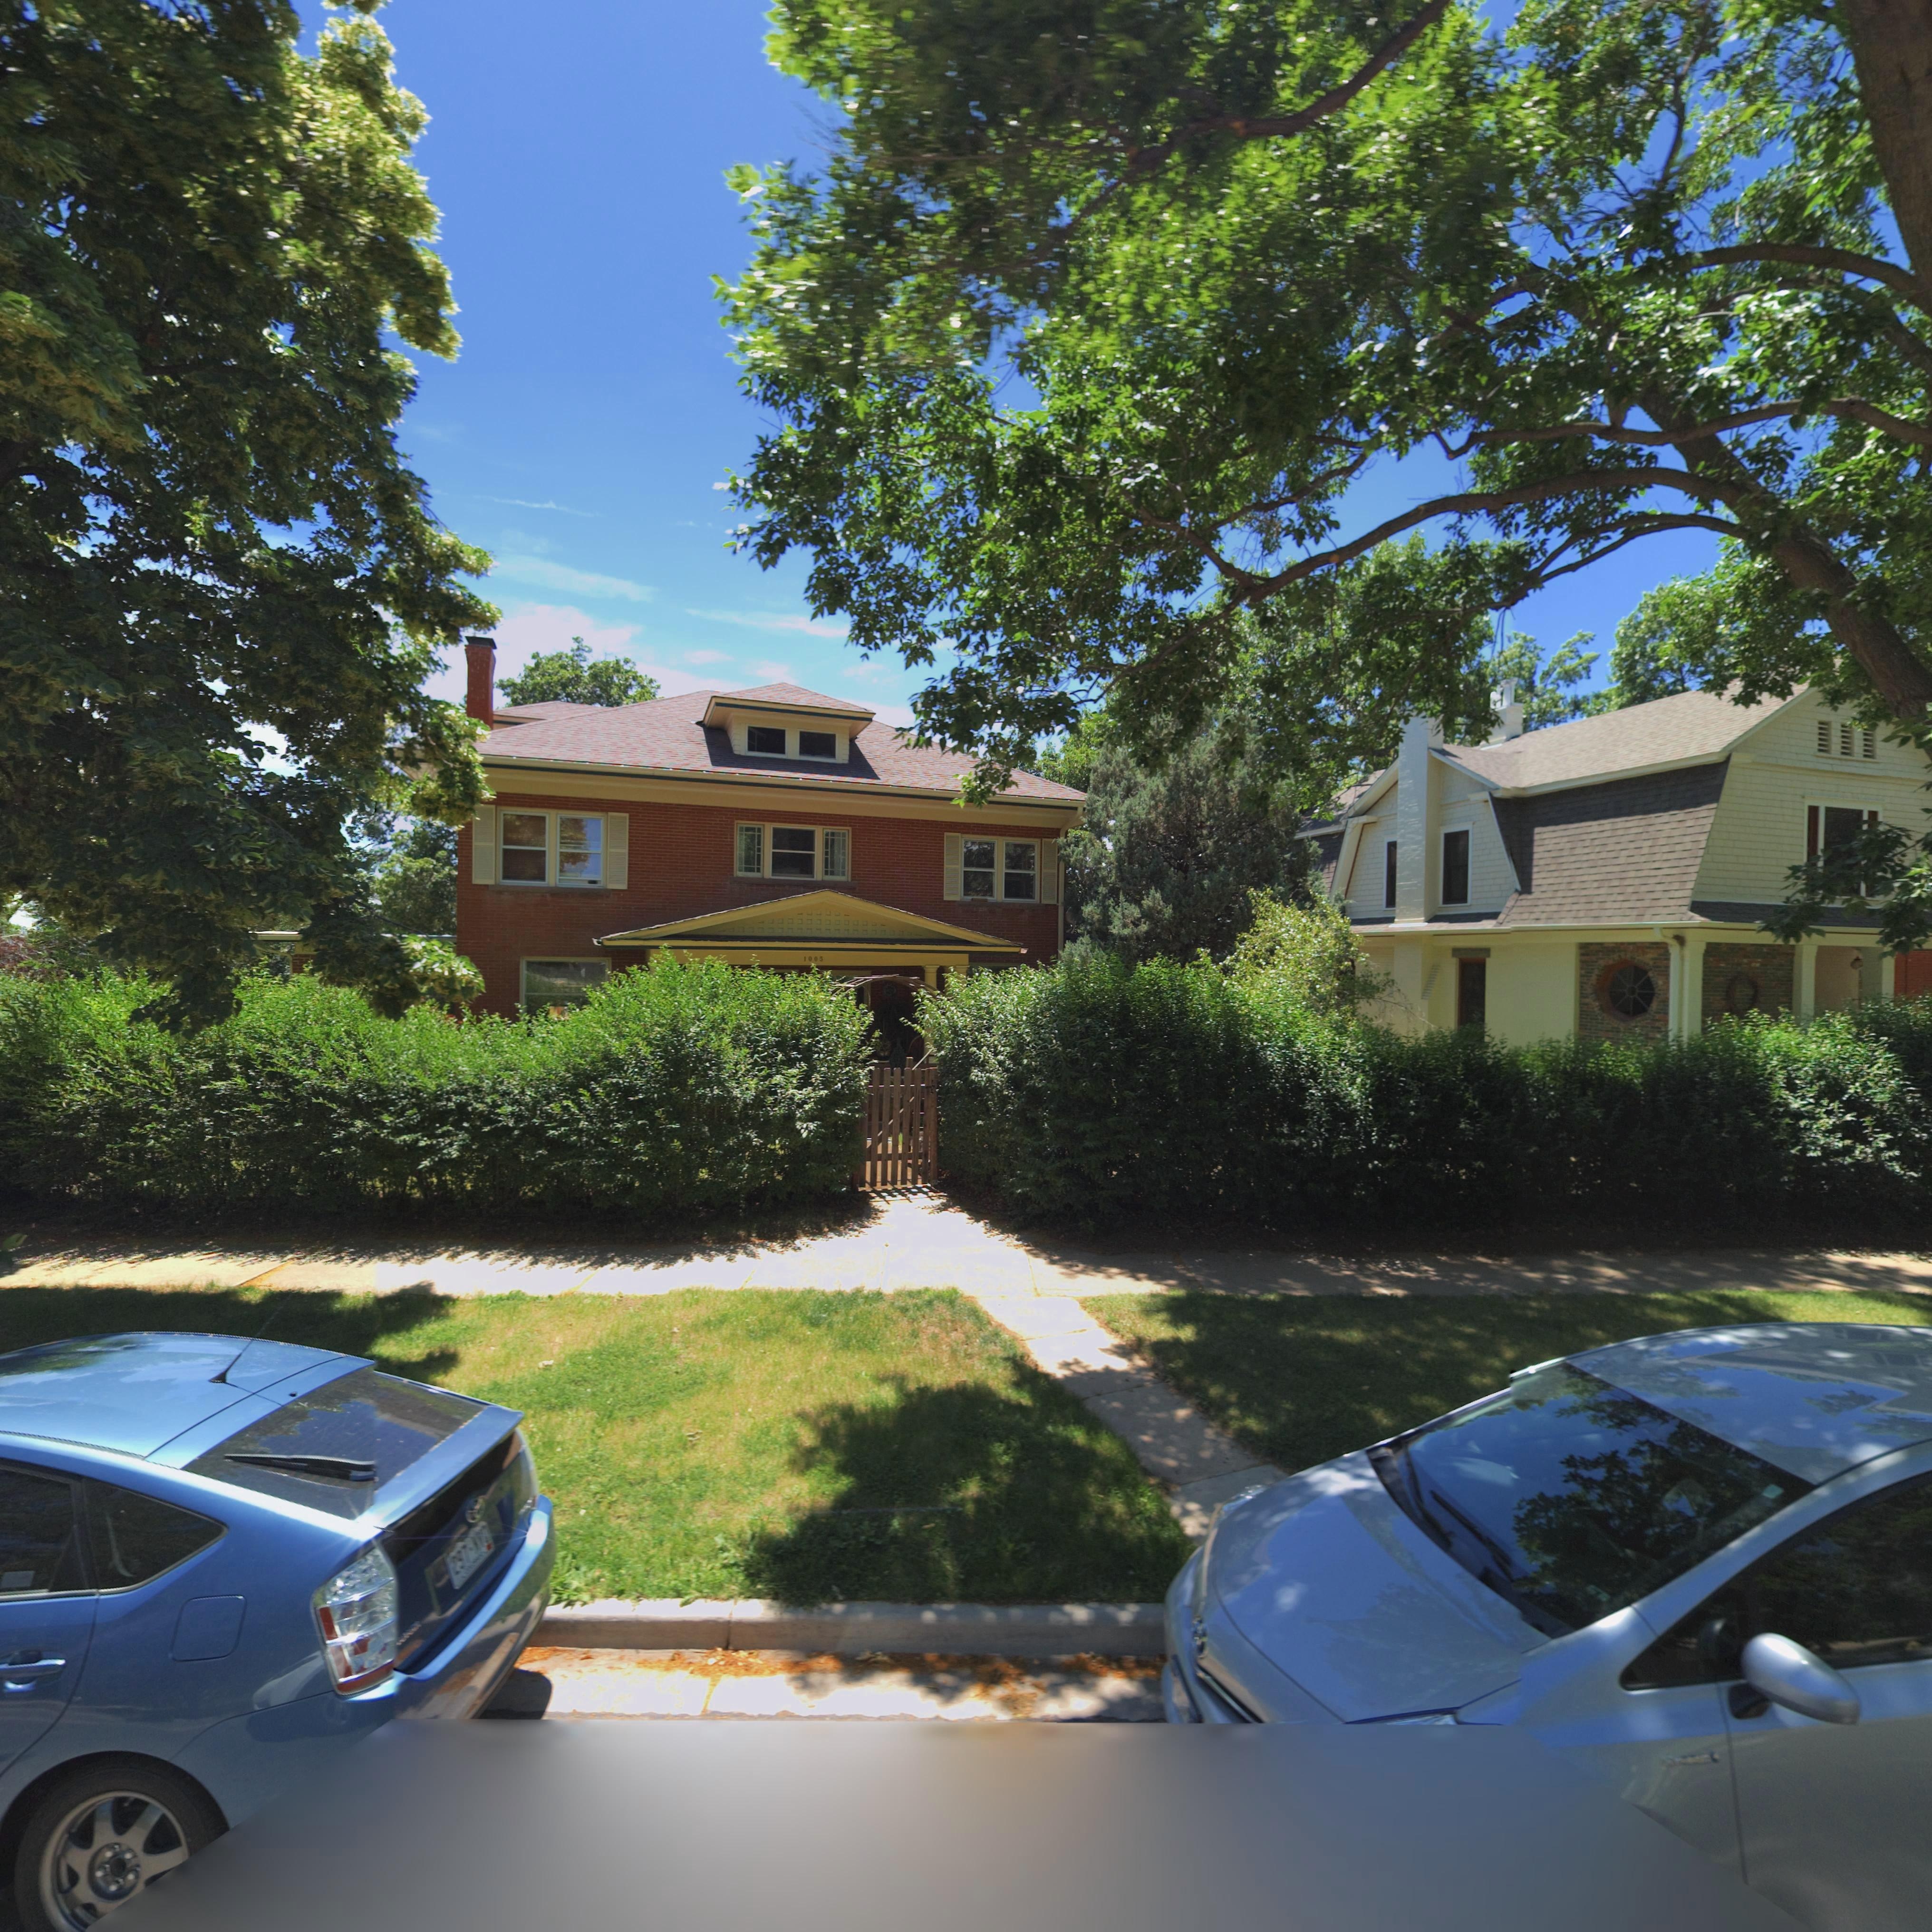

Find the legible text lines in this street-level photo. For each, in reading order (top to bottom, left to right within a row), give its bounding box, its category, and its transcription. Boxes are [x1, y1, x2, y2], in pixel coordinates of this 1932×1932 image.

[803, 956, 823, 962] StreetNumber: 1005